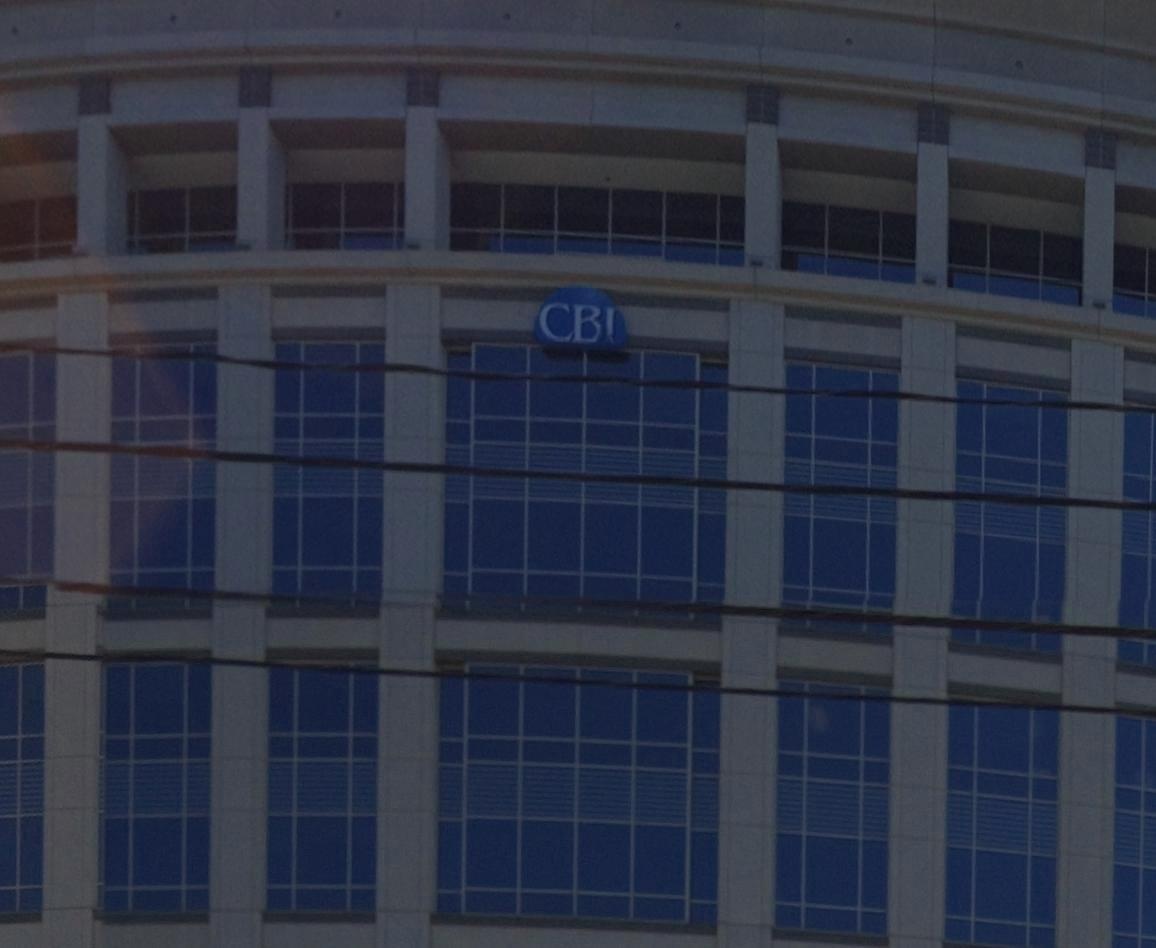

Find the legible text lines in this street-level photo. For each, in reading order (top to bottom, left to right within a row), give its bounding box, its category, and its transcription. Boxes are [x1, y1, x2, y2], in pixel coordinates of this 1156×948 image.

[537, 301, 622, 345] BusinessName: CBI